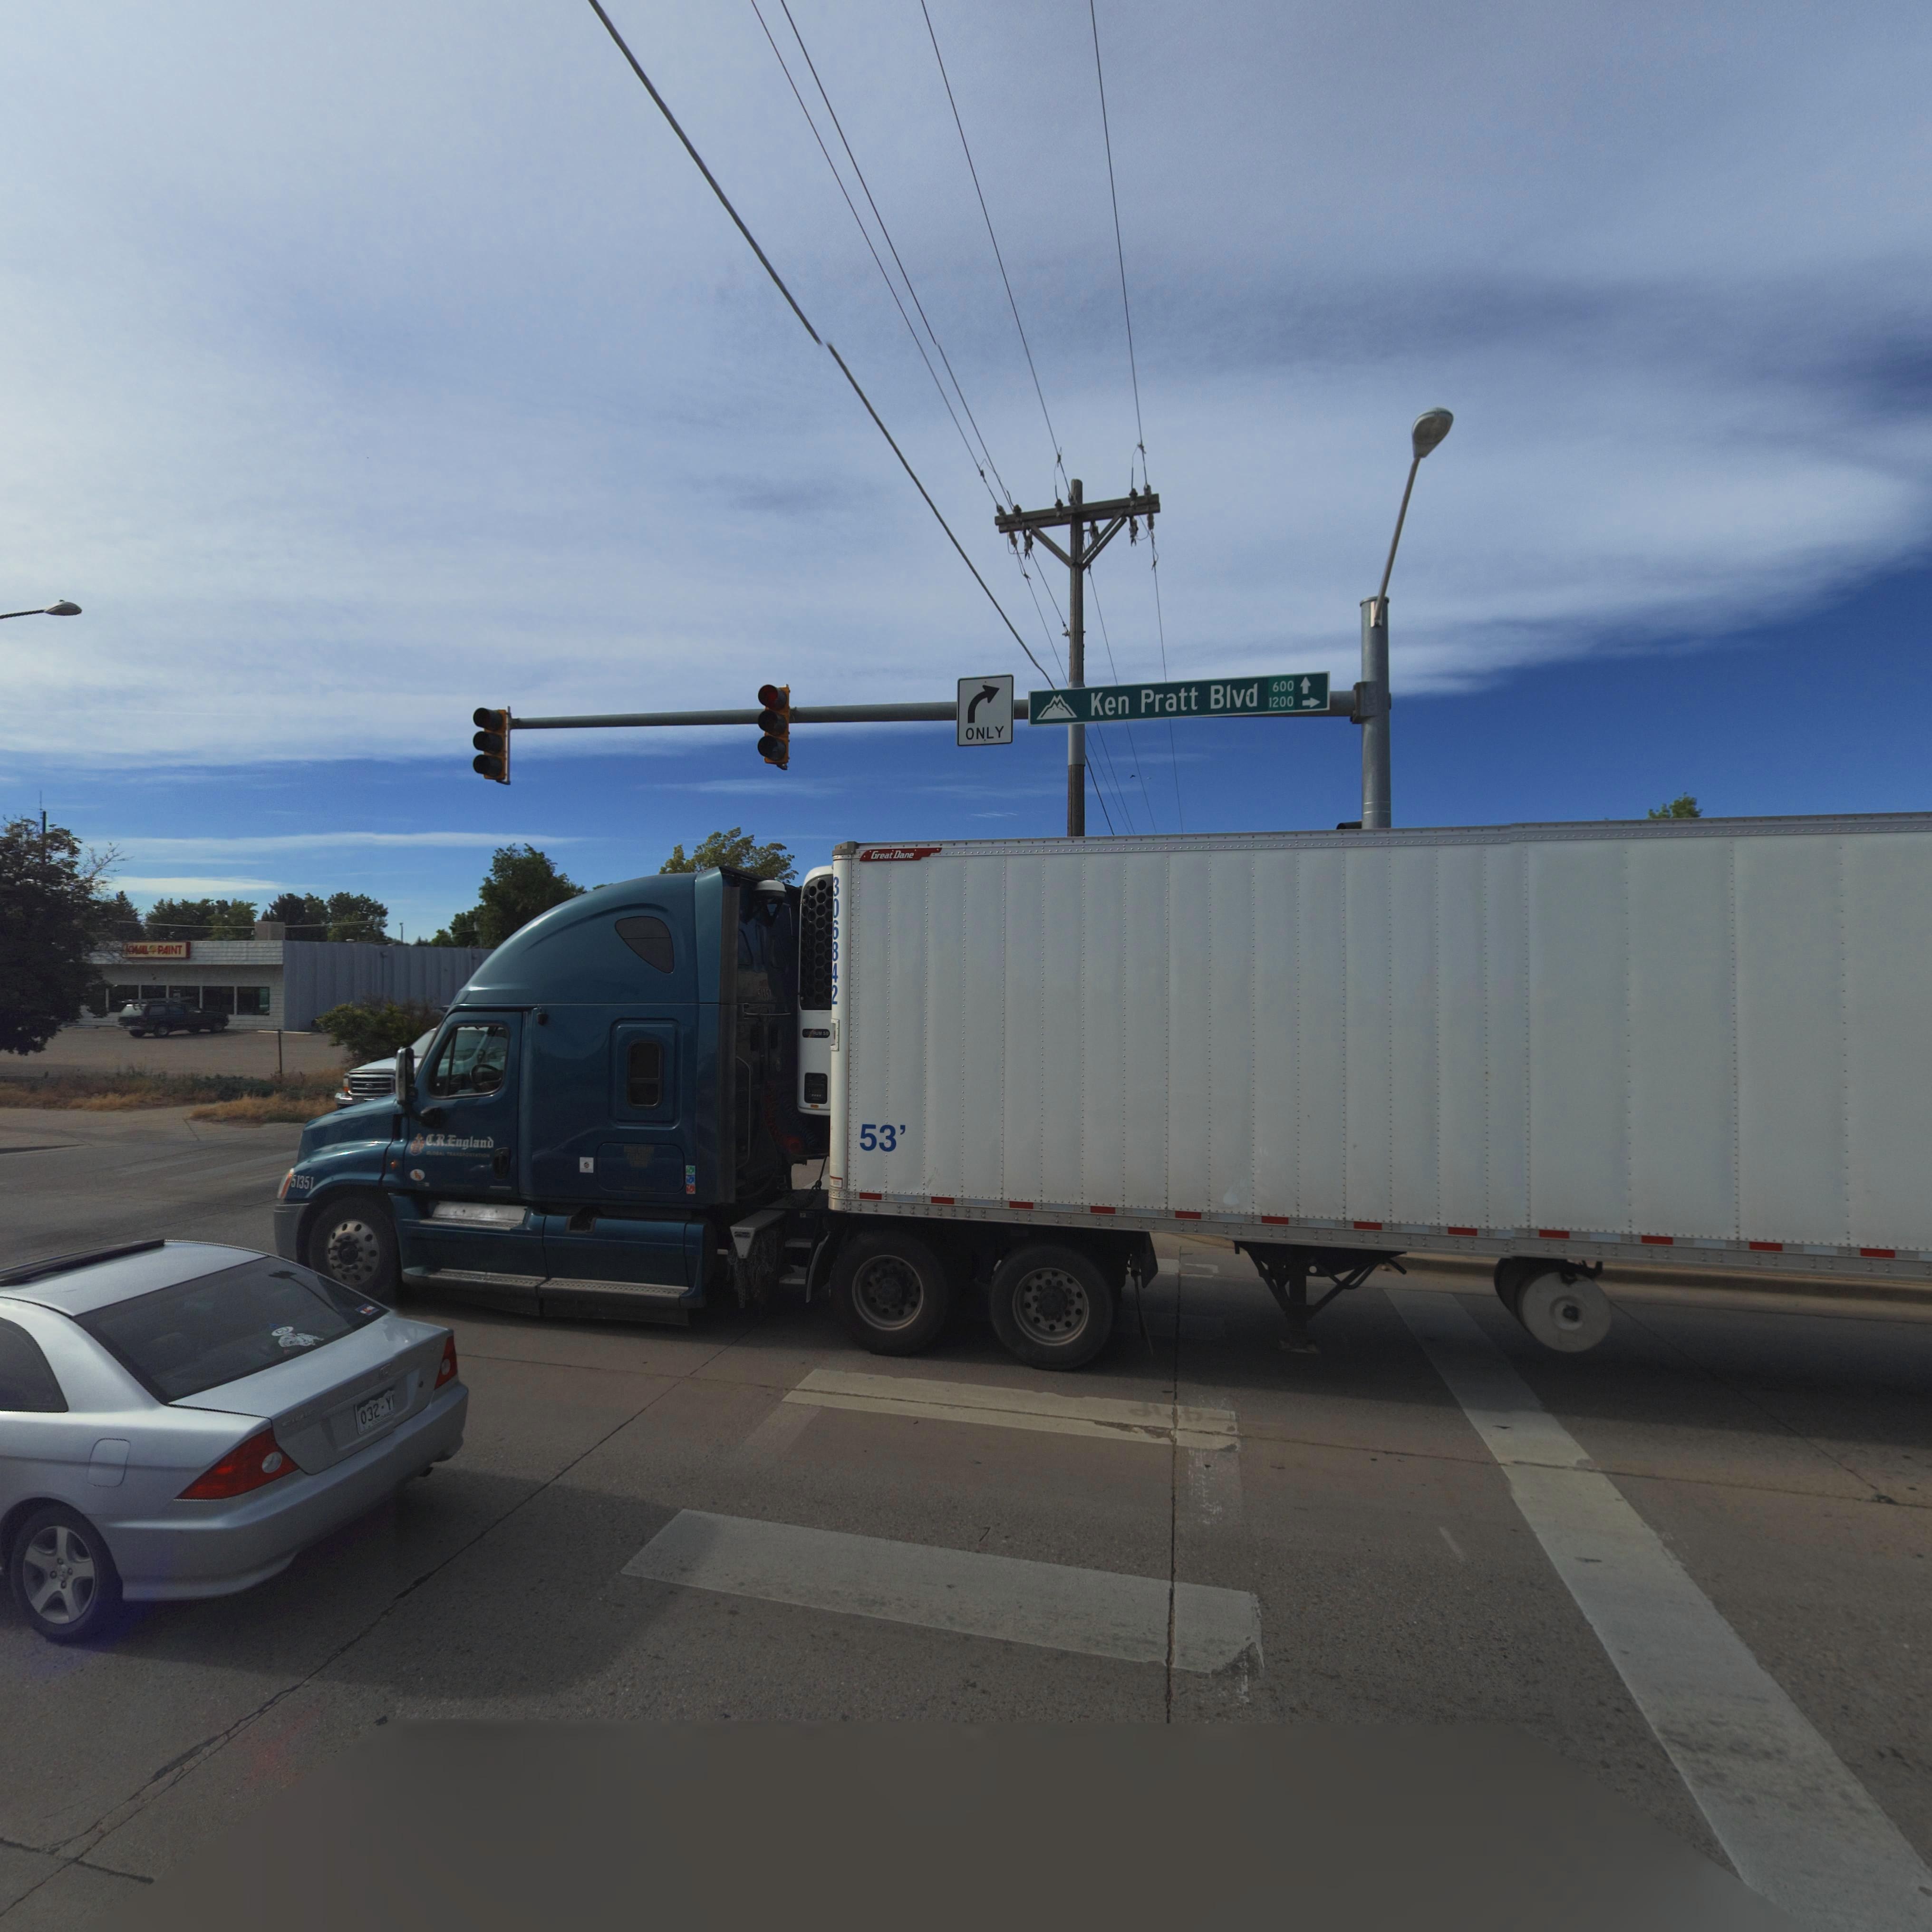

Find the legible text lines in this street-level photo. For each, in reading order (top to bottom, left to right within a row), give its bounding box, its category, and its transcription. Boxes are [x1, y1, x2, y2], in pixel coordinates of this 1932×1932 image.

[1271, 679, 1294, 693] StreetNumberRange: 600
[1091, 682, 1258, 716] StreetName: Ken Pratt Blvd
[1267, 695, 1322, 708] StreetNumberRange: 1200->
[125, 944, 183, 955] BusinessName: KWAL PAINT